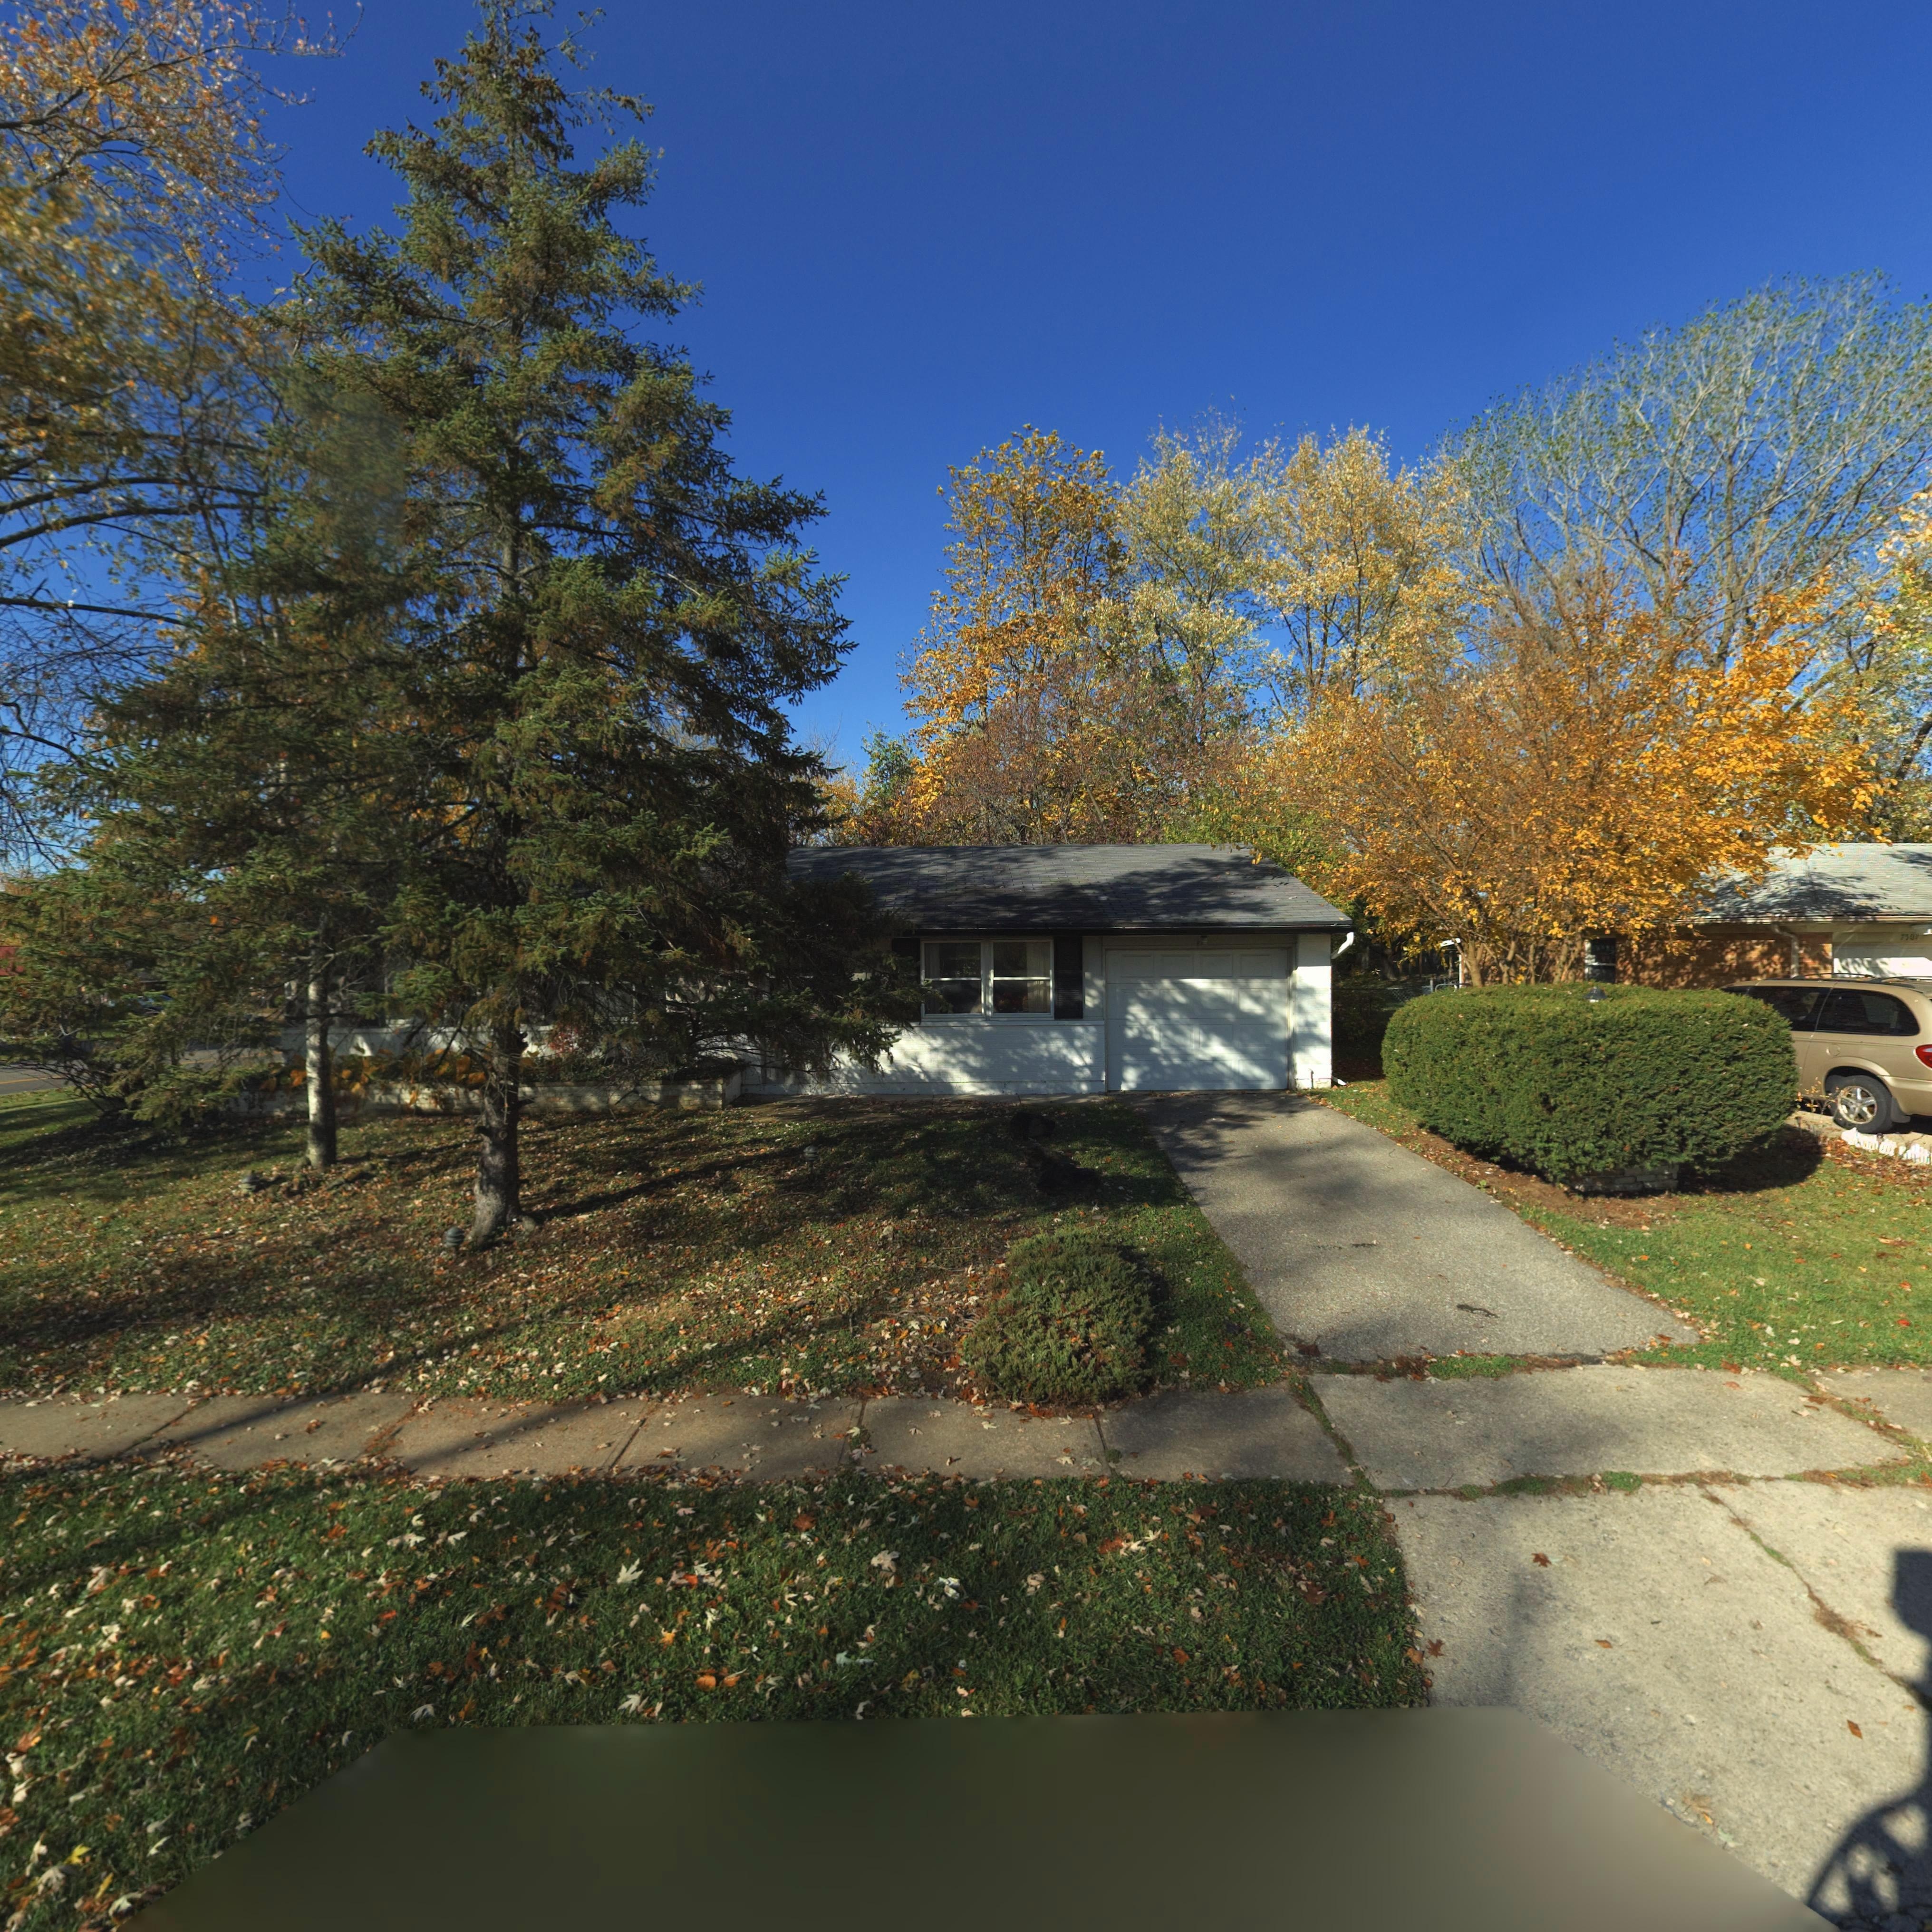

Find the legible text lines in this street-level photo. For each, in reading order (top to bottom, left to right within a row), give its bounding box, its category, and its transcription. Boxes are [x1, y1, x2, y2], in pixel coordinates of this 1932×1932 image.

[1899, 933, 1915, 942] StreetNumber: 750